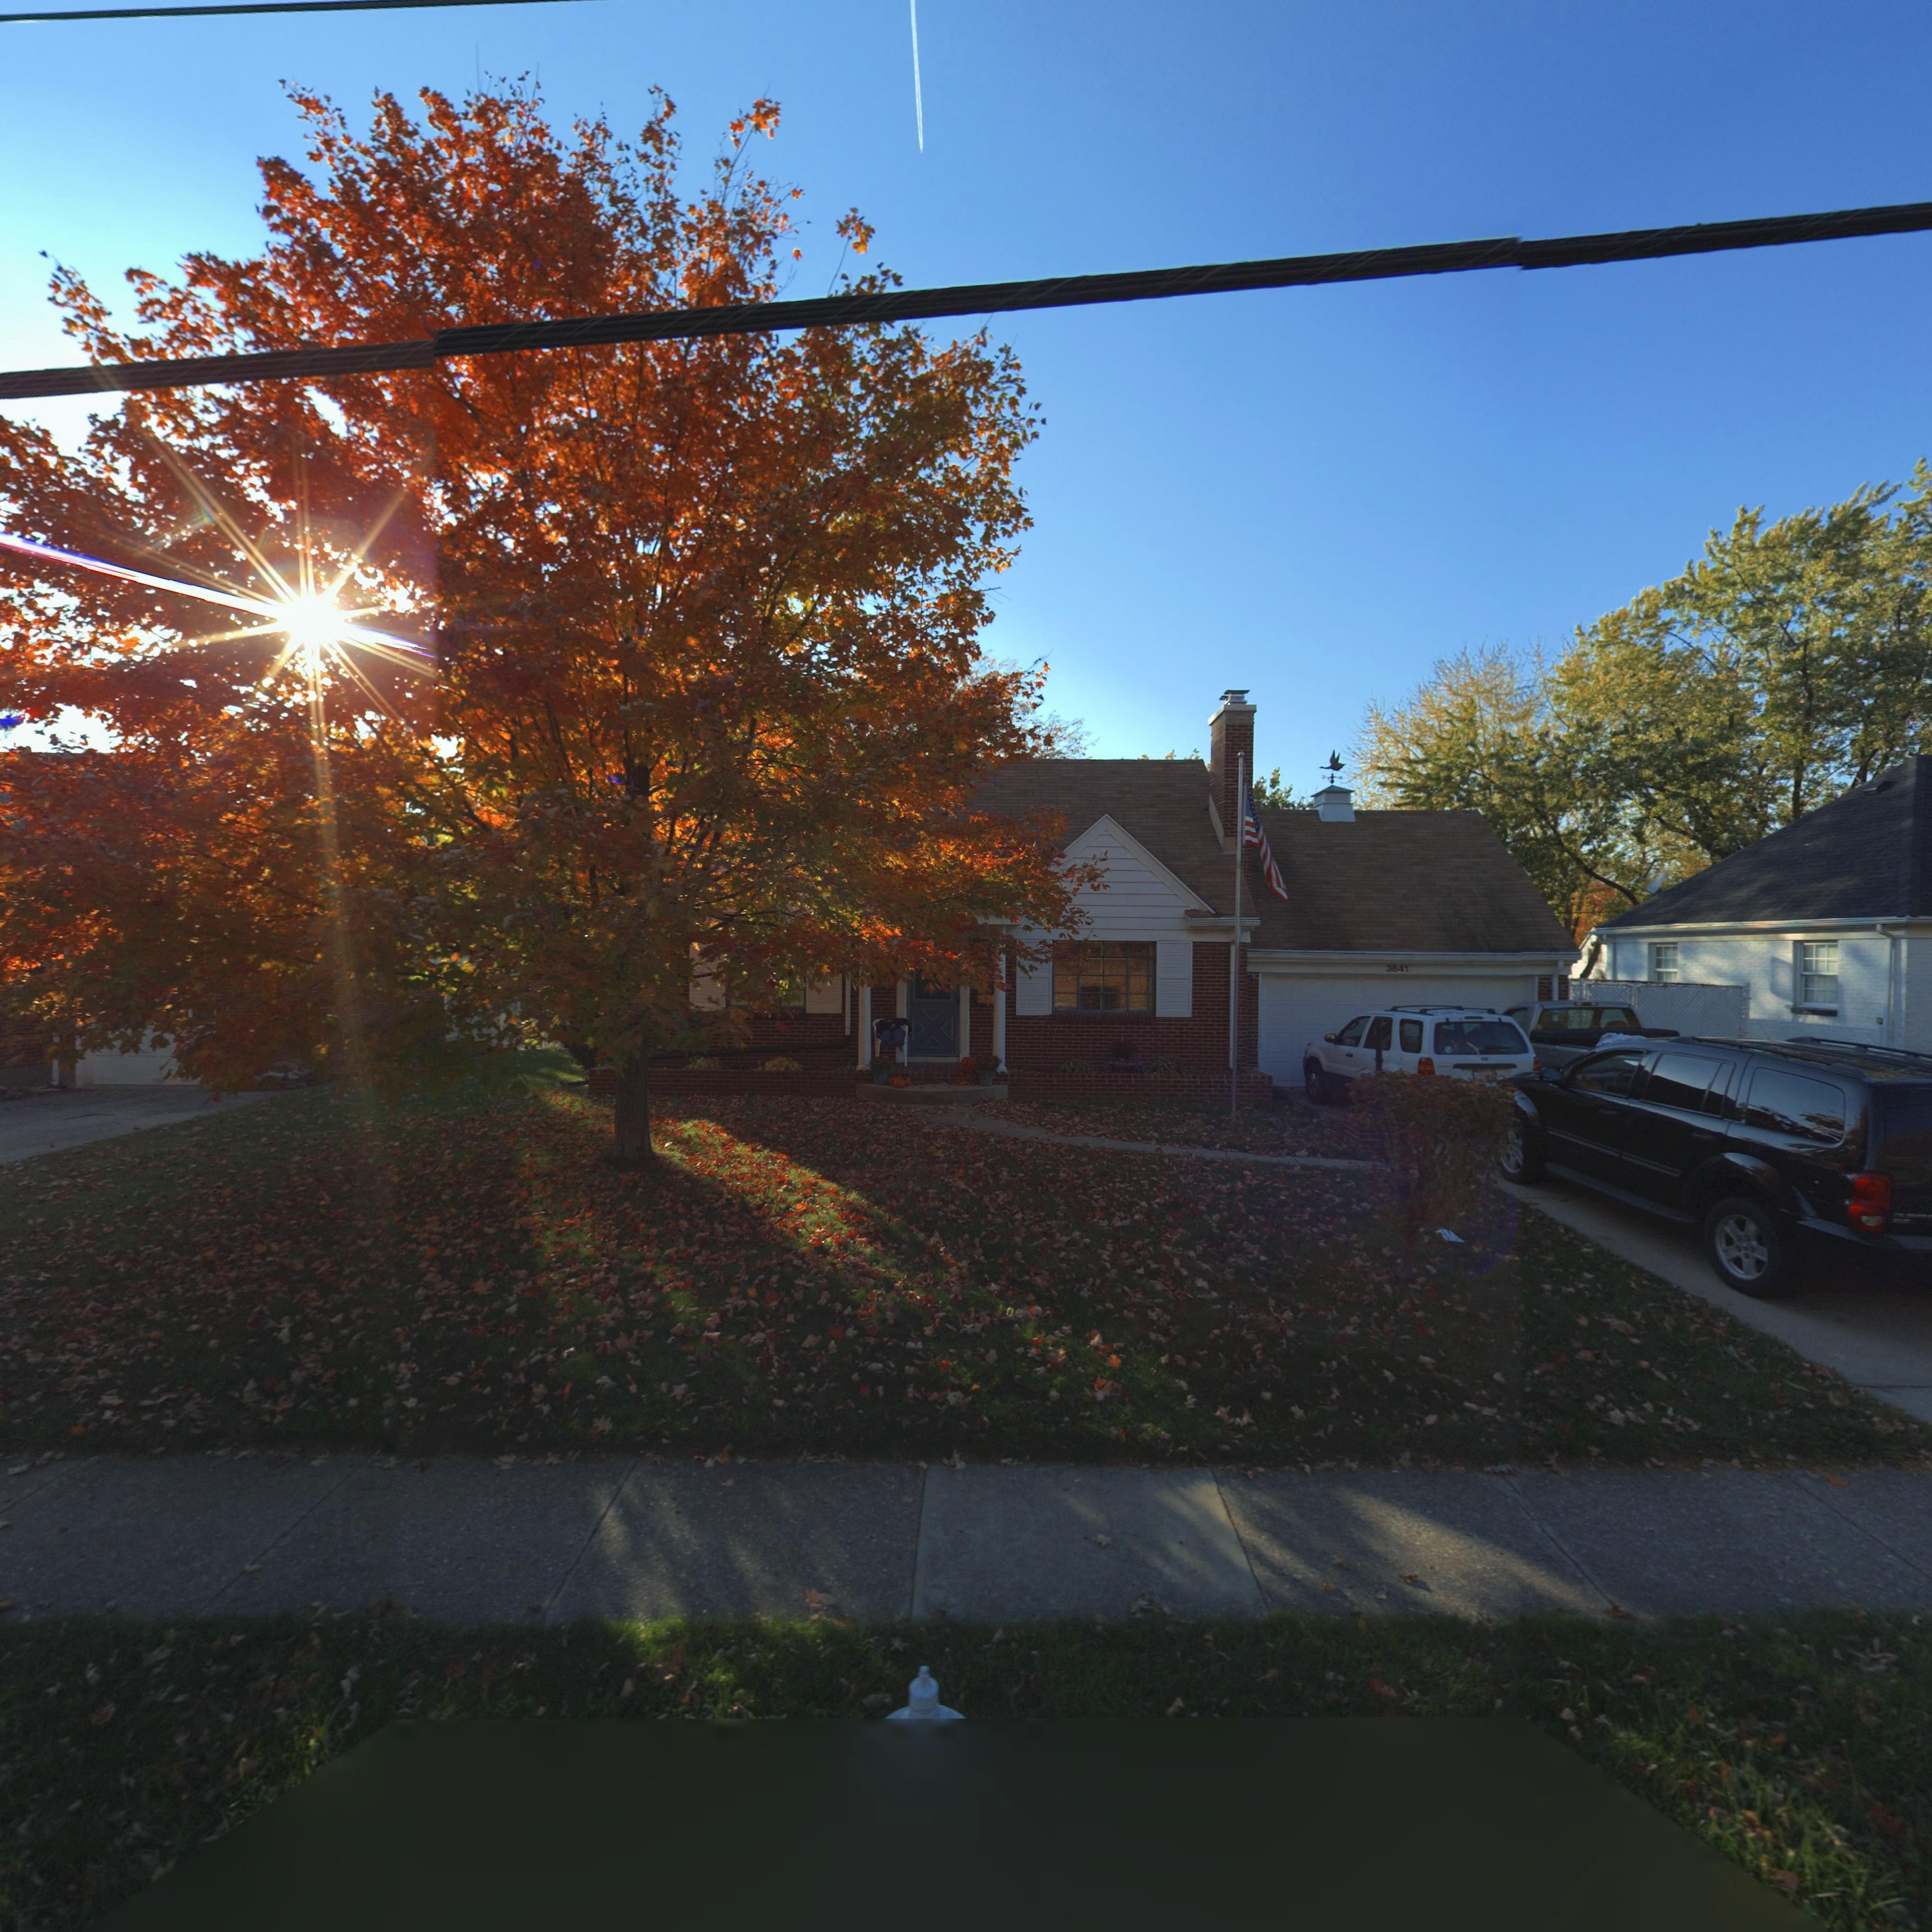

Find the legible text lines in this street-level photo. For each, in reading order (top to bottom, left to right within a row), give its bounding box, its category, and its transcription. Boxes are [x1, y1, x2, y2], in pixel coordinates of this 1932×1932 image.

[1385, 964, 1409, 972] StreetNumber: 3641